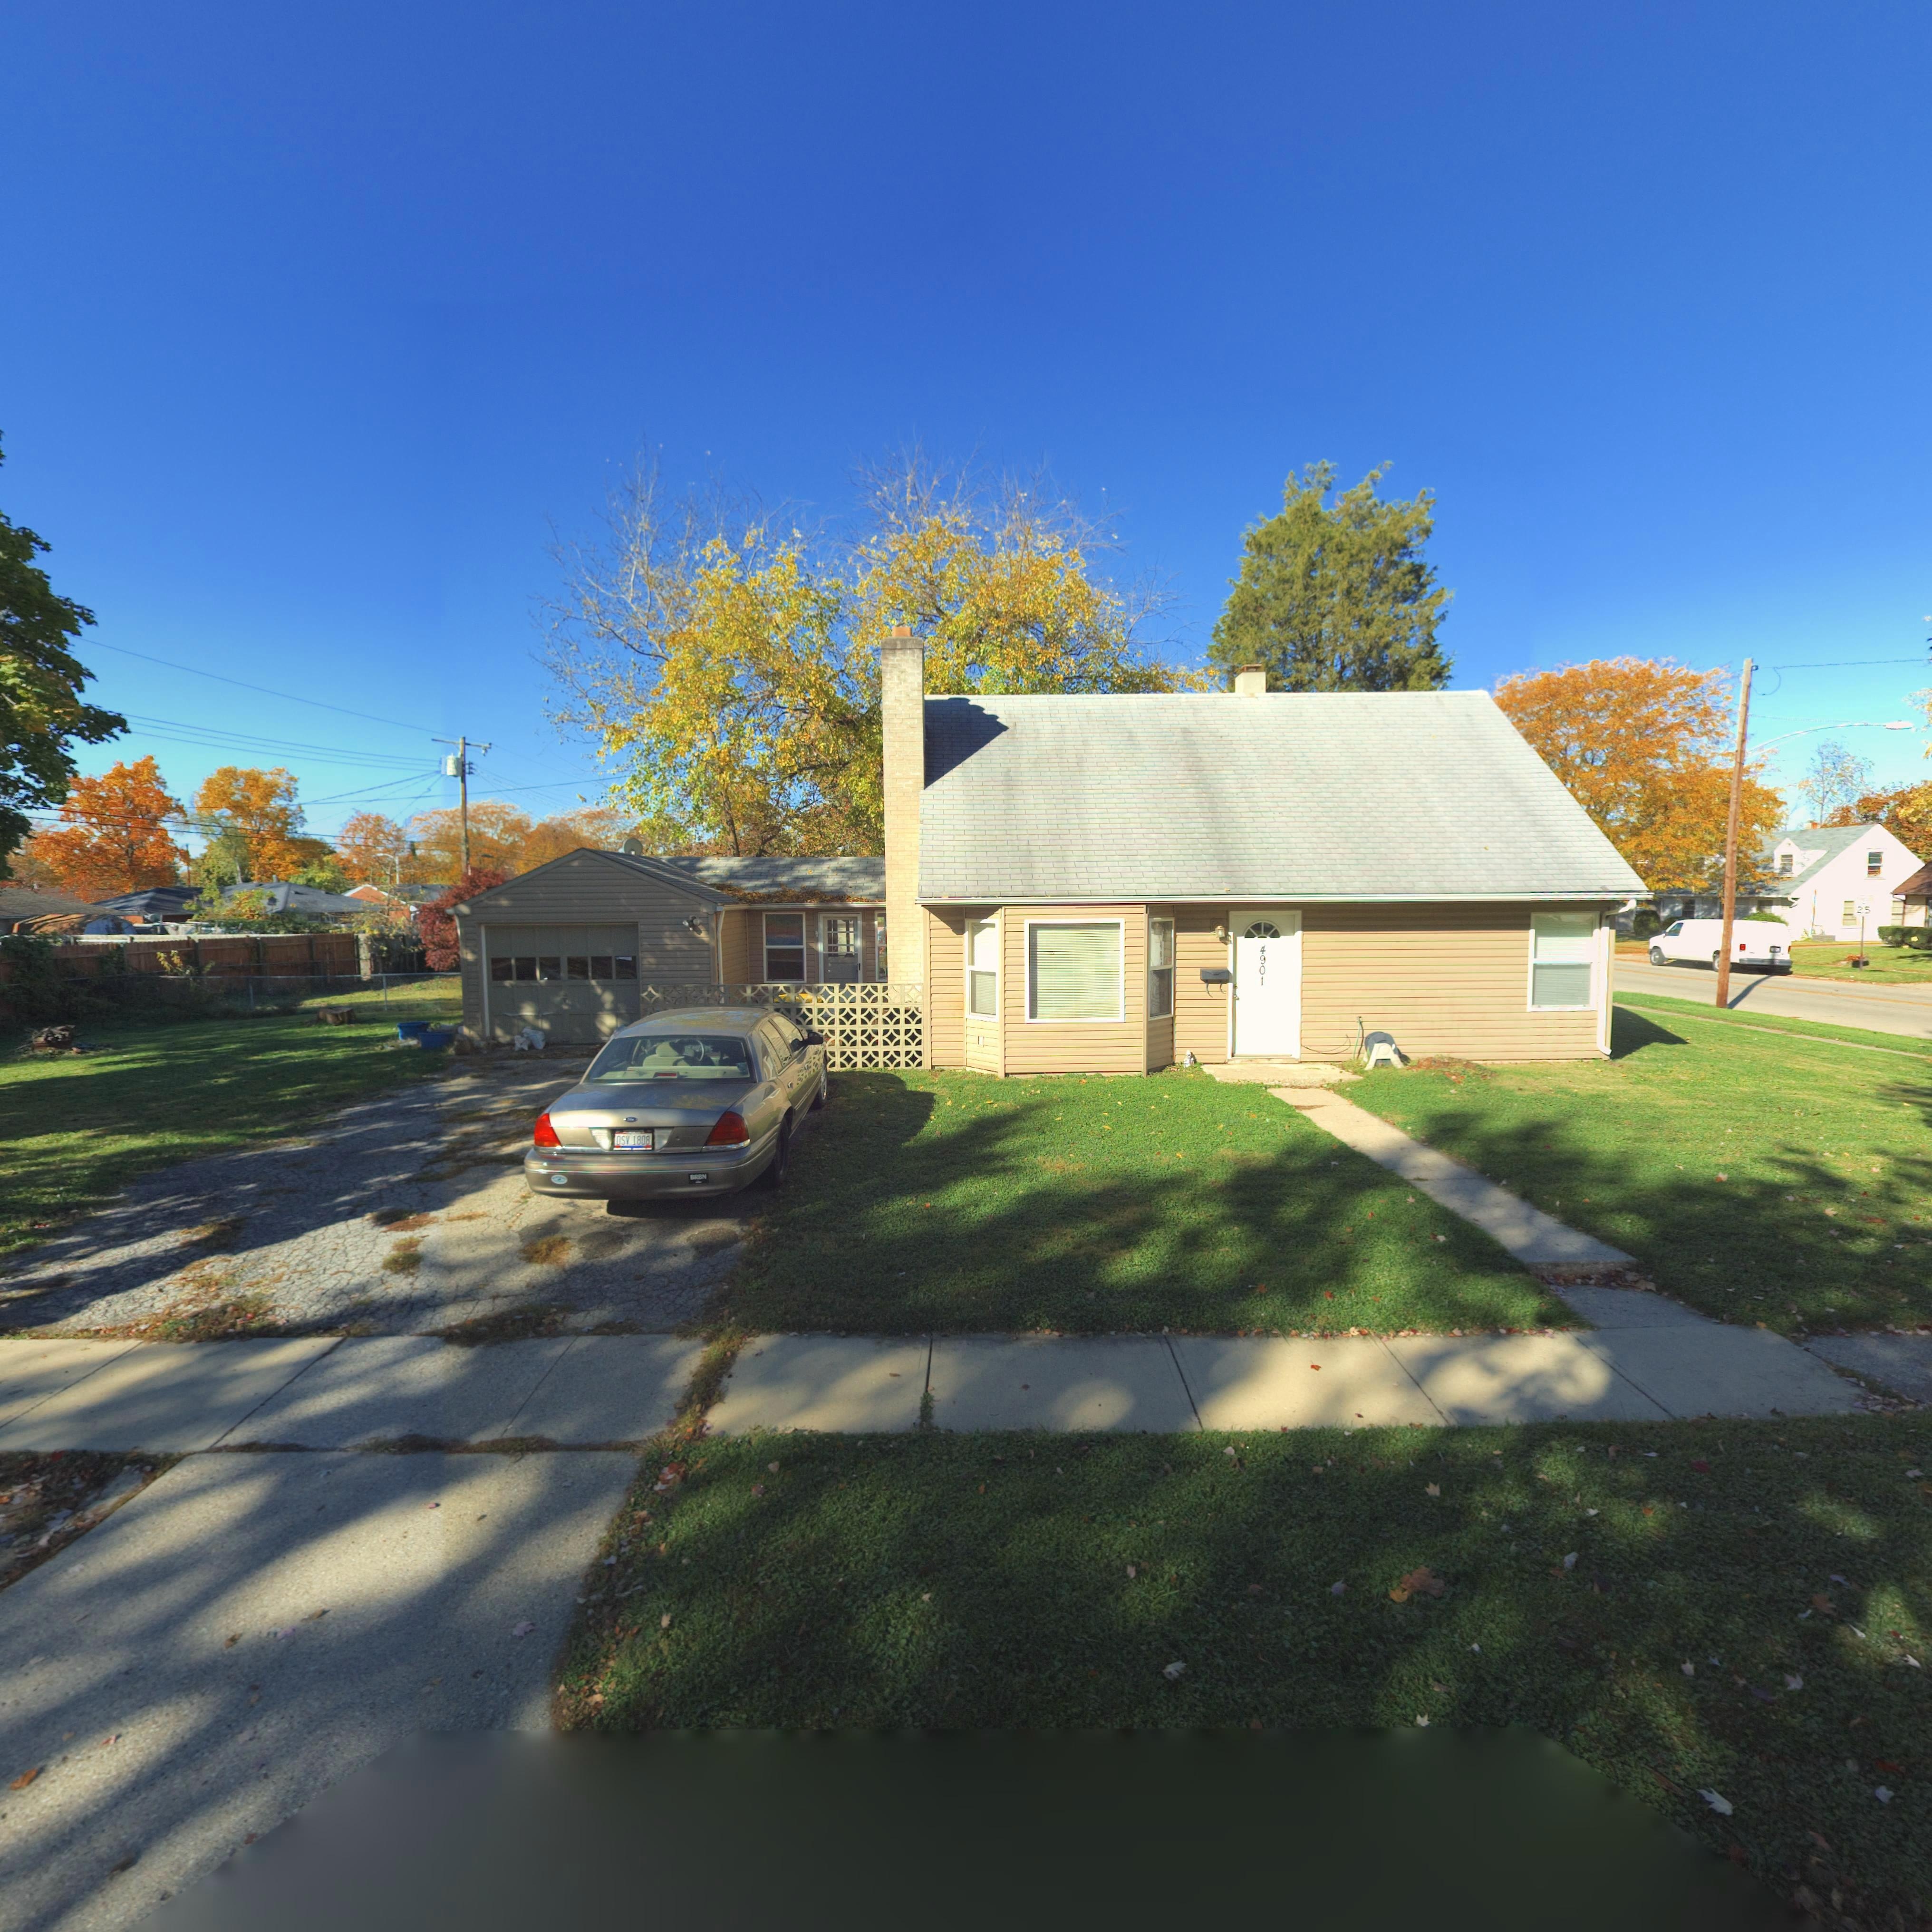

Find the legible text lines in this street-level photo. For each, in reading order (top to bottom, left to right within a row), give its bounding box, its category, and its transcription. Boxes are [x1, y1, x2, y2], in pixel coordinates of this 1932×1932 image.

[1259, 945, 1267, 986] StreetNumber: 4901